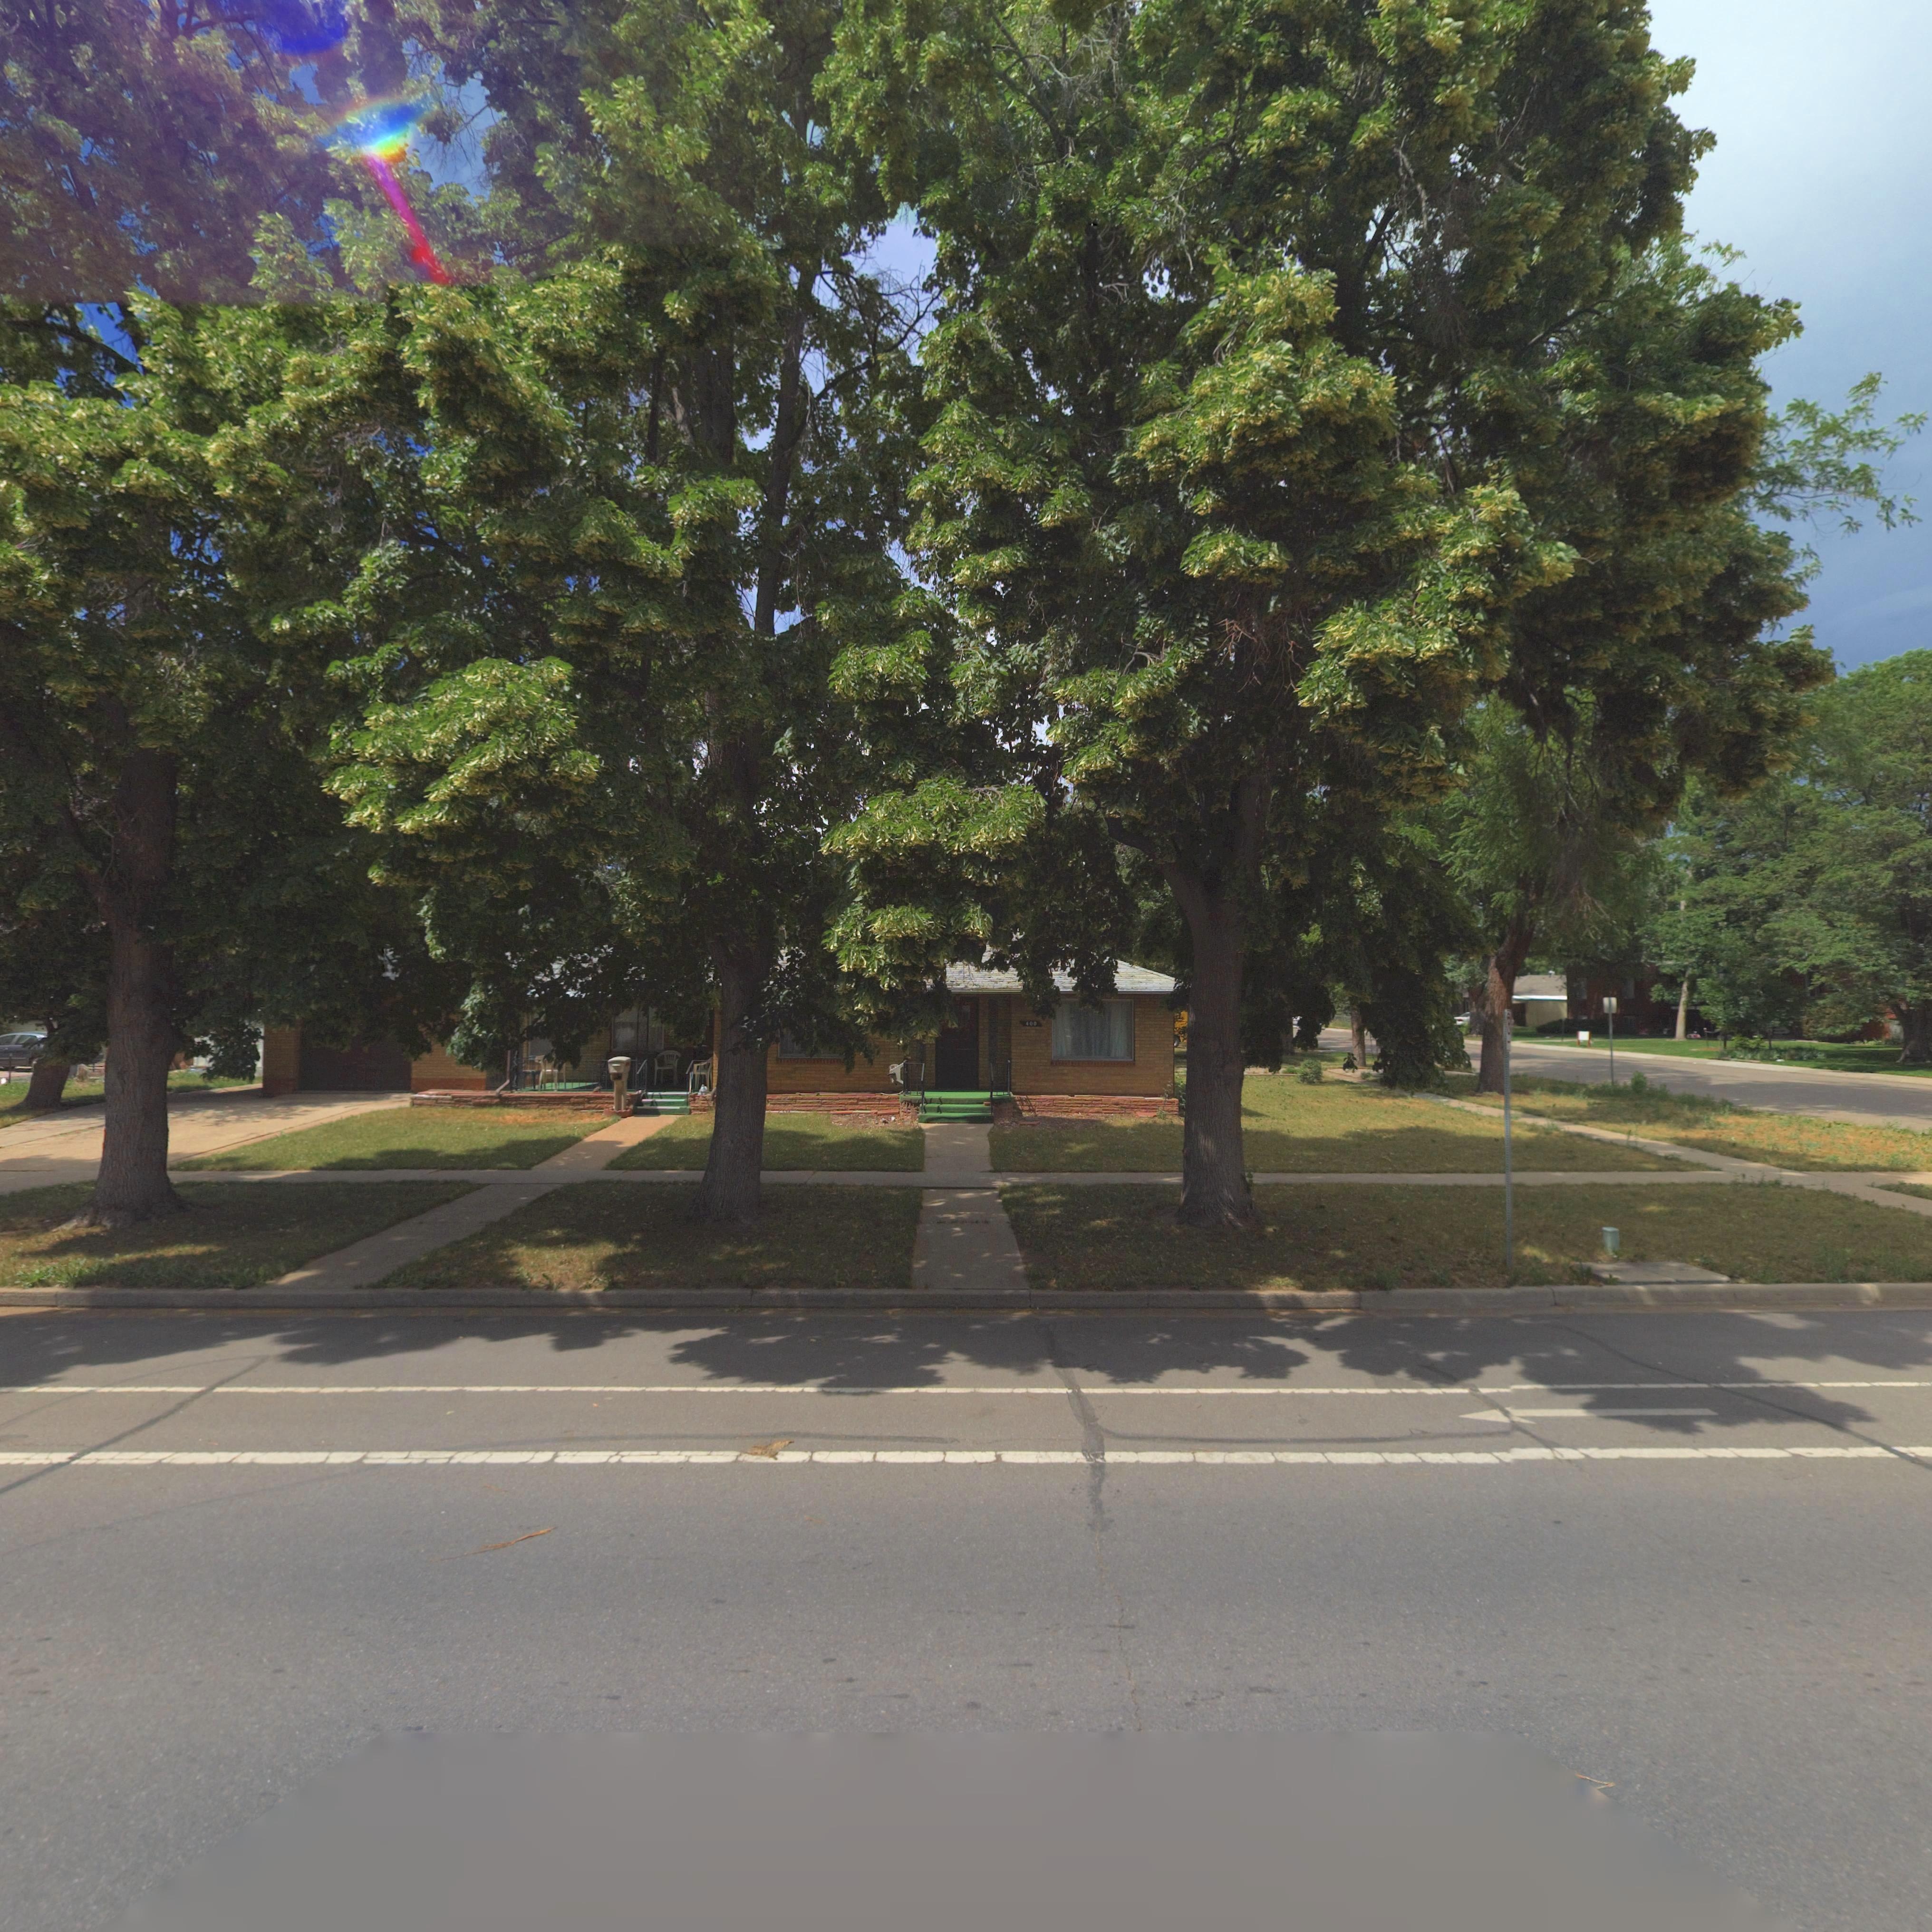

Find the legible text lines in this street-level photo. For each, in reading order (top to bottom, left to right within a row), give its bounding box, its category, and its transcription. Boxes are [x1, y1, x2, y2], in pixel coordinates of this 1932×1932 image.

[1025, 1021, 1036, 1026] StreetNumber: 400